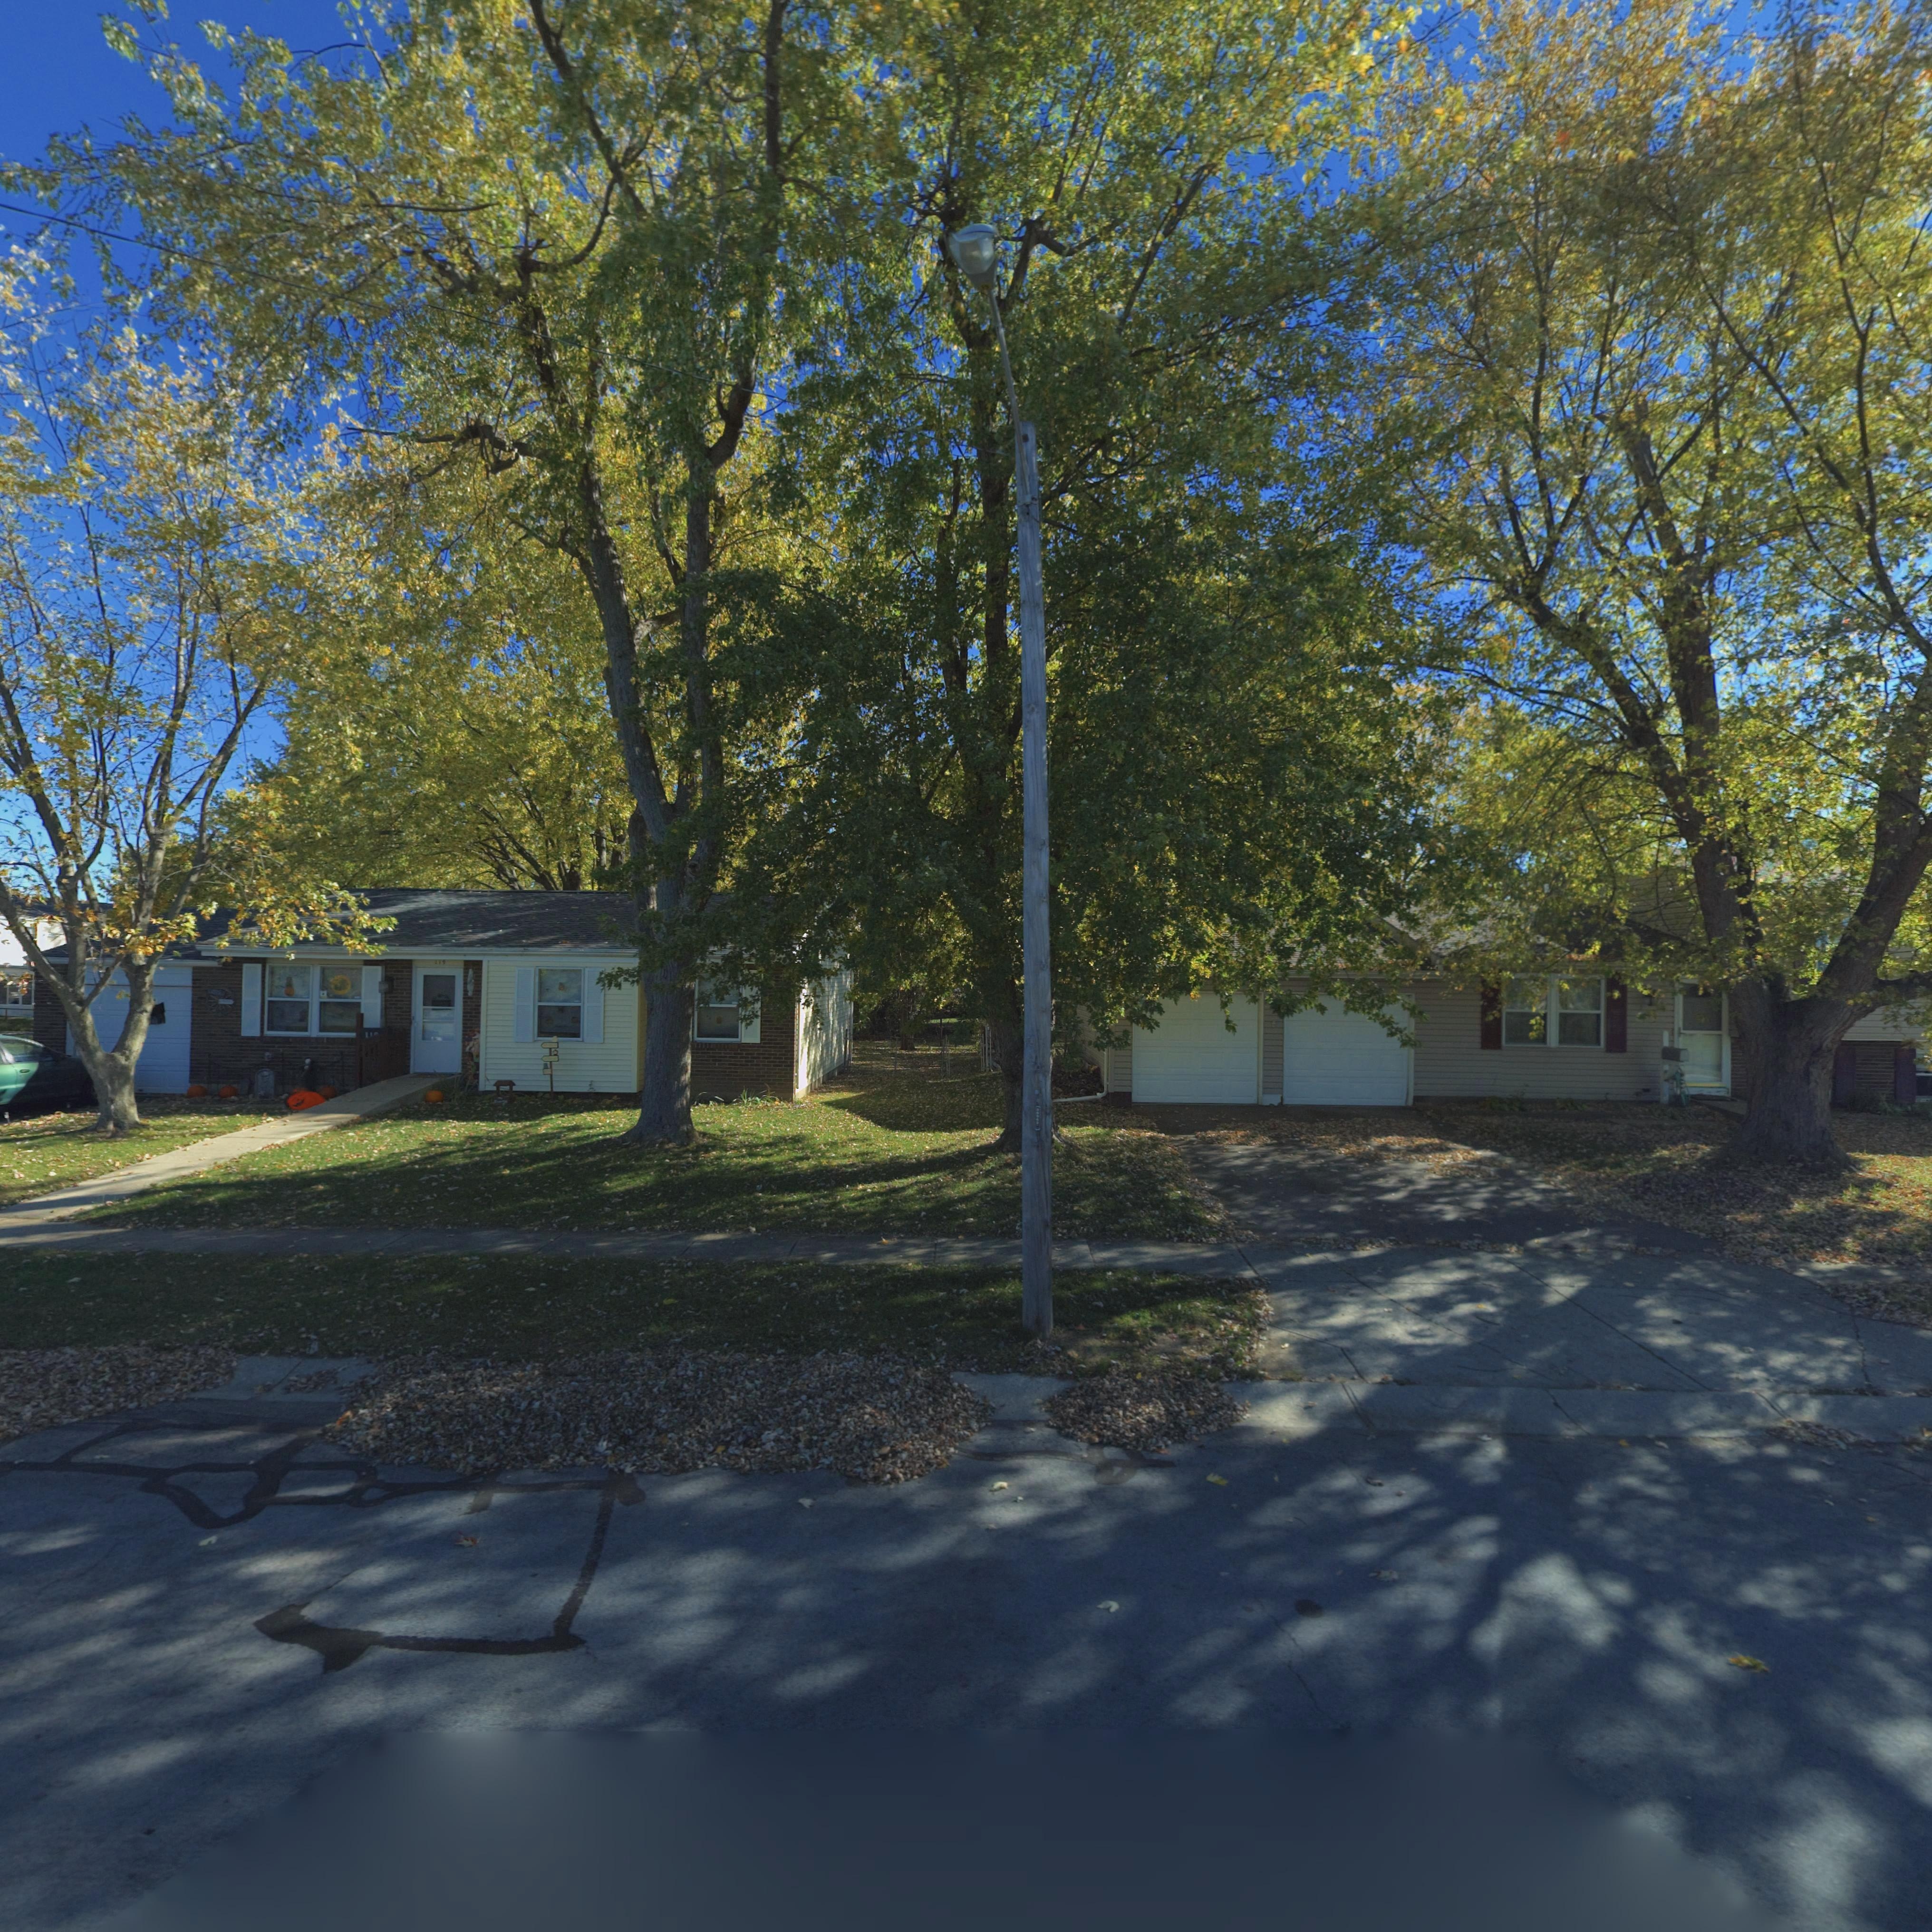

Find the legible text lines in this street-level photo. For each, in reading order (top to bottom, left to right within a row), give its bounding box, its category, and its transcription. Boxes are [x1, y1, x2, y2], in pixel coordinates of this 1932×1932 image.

[434, 959, 446, 965] StreetNumber: 11*
[364, 1031, 368, 1038] StreetNumber: 1